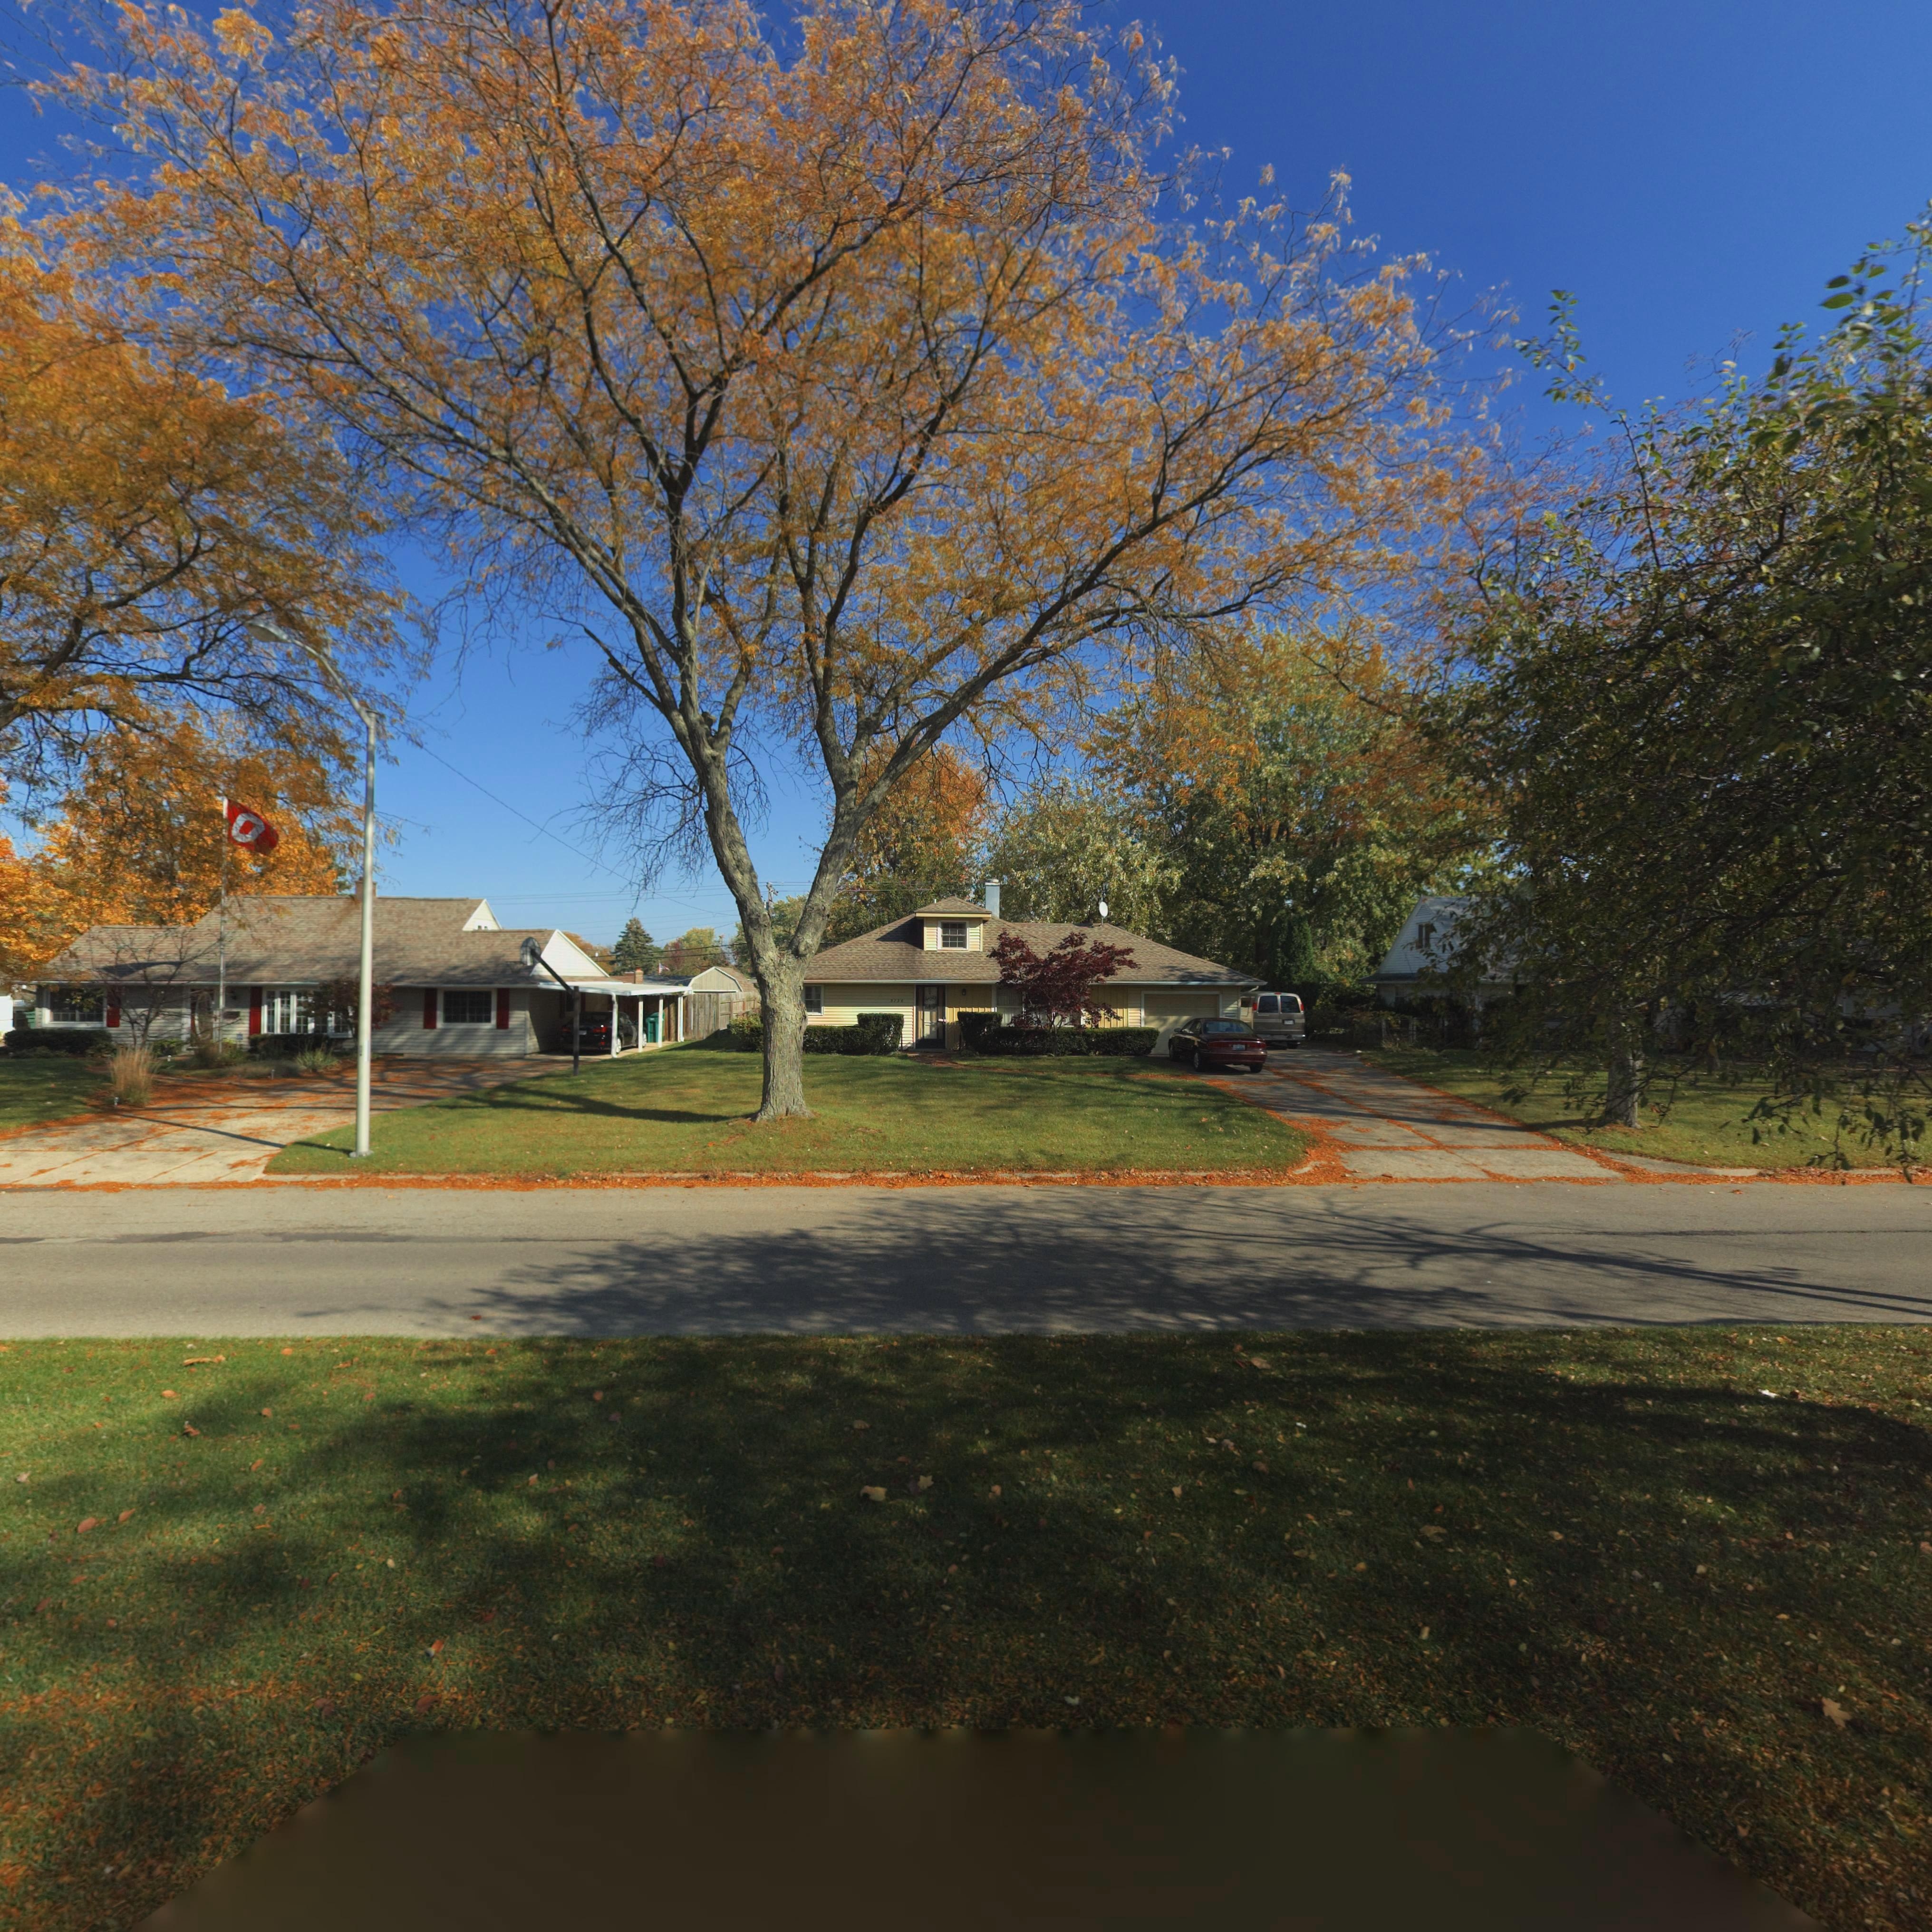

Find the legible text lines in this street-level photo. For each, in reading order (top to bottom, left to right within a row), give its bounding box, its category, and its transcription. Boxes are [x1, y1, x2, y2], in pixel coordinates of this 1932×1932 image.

[231, 812, 266, 843] None: O
[889, 998, 904, 1003] StreetNumber: 3736